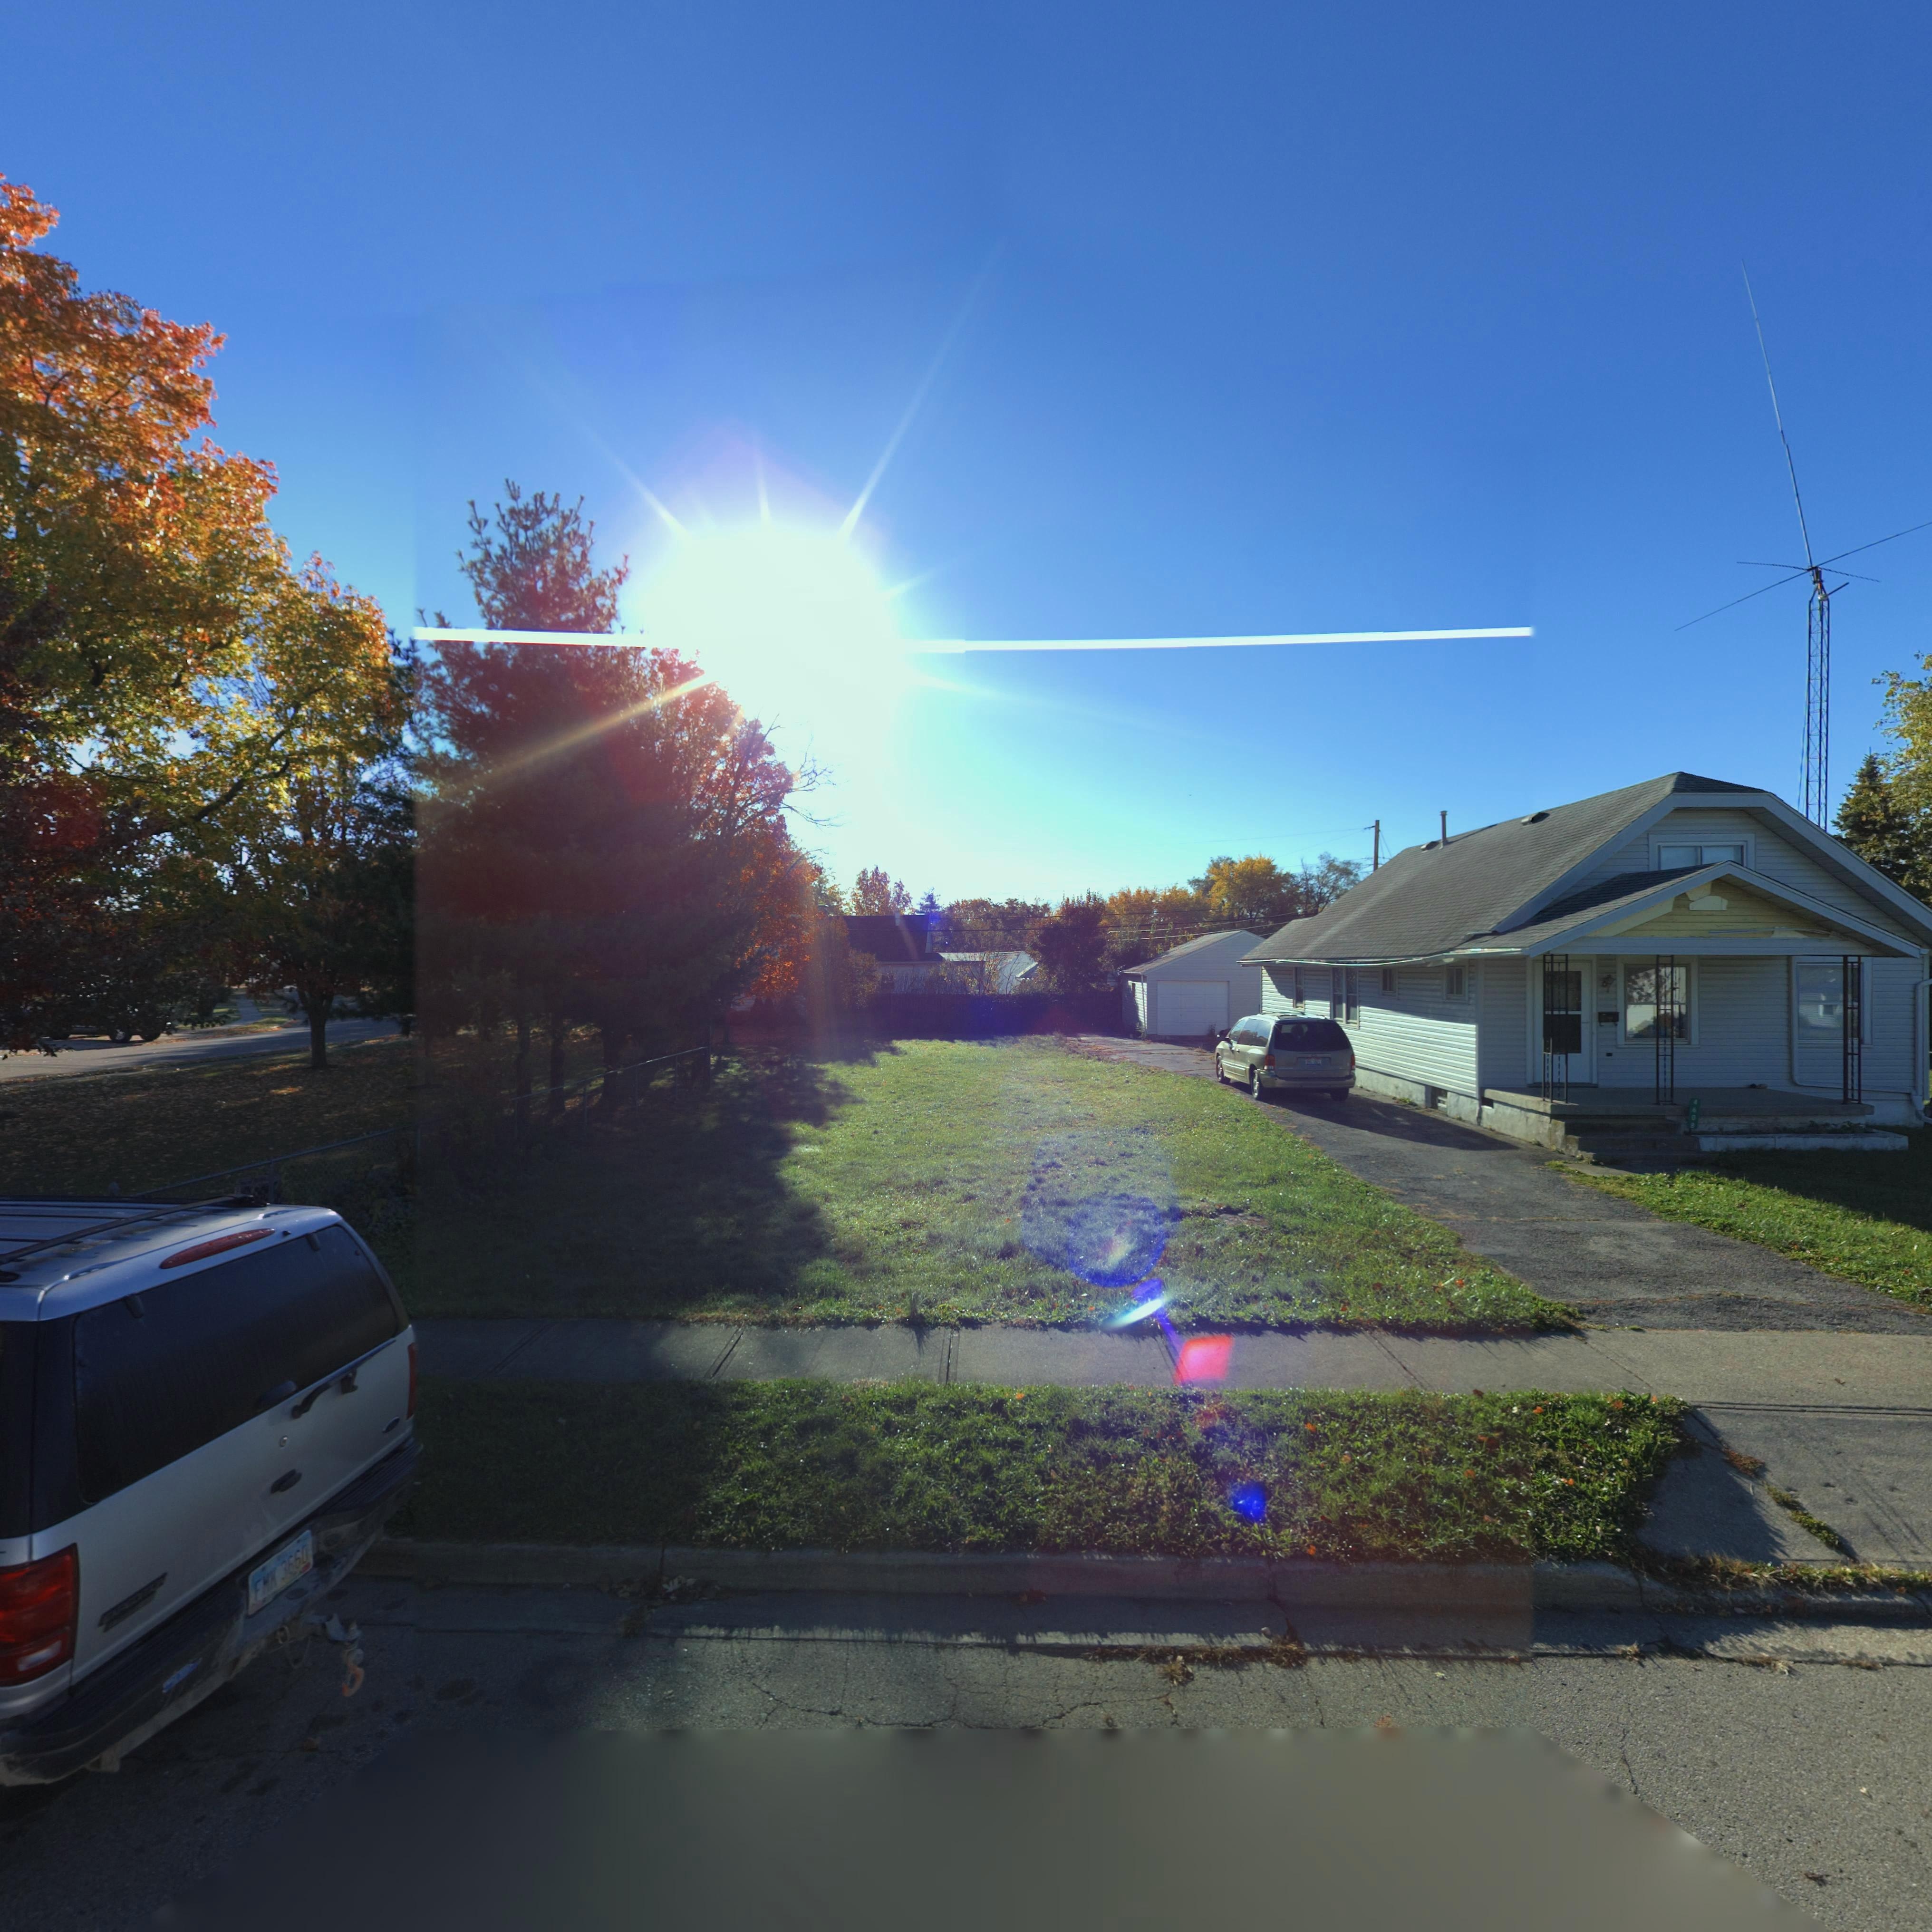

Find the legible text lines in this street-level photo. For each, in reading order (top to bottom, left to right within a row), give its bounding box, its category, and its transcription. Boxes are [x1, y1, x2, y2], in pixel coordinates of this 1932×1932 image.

[1690, 1097, 1699, 1130] StreetNumber: 4608